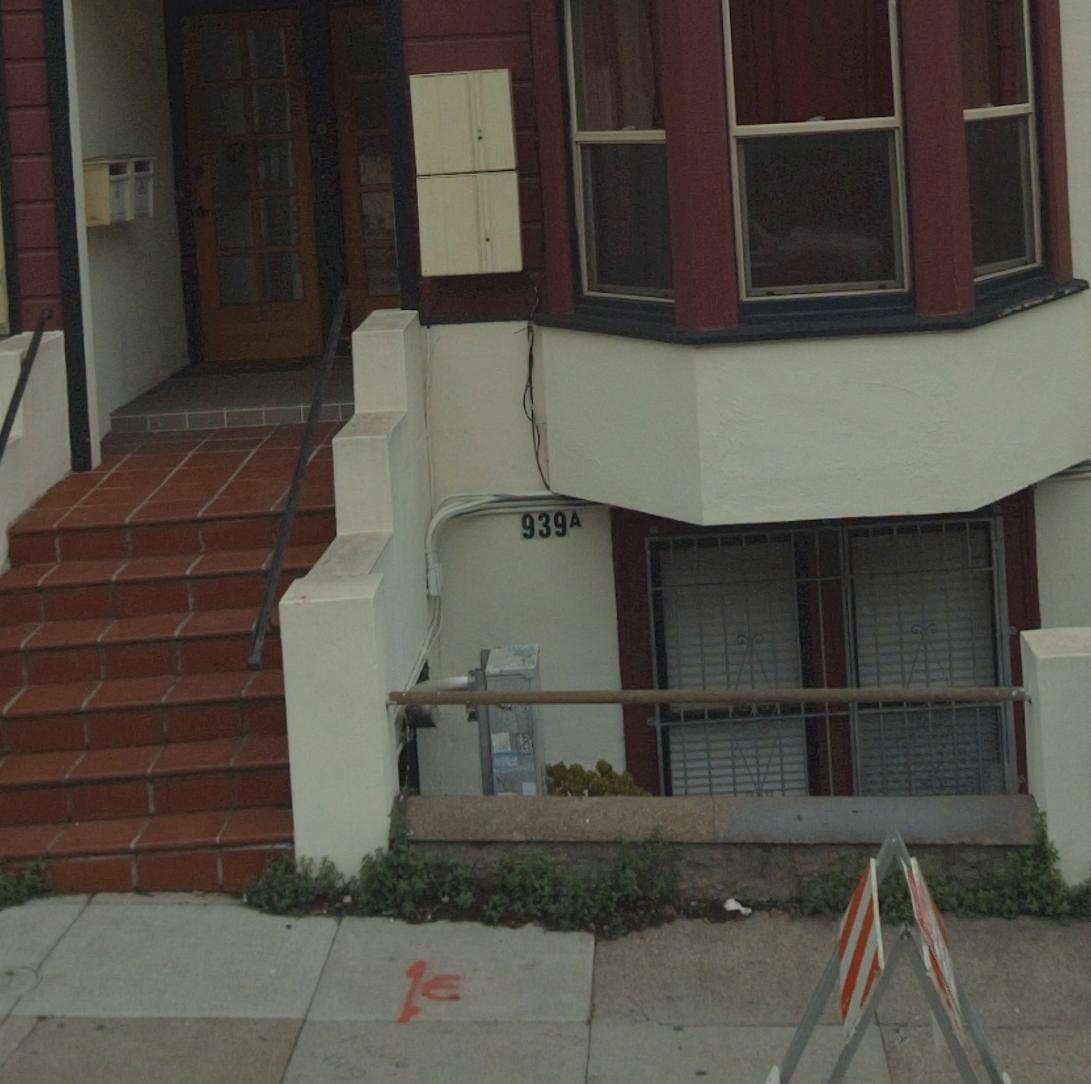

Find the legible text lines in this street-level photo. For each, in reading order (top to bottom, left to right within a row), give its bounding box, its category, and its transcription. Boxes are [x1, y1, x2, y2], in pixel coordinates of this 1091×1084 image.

[519, 510, 583, 540] StreetNumber: 939A